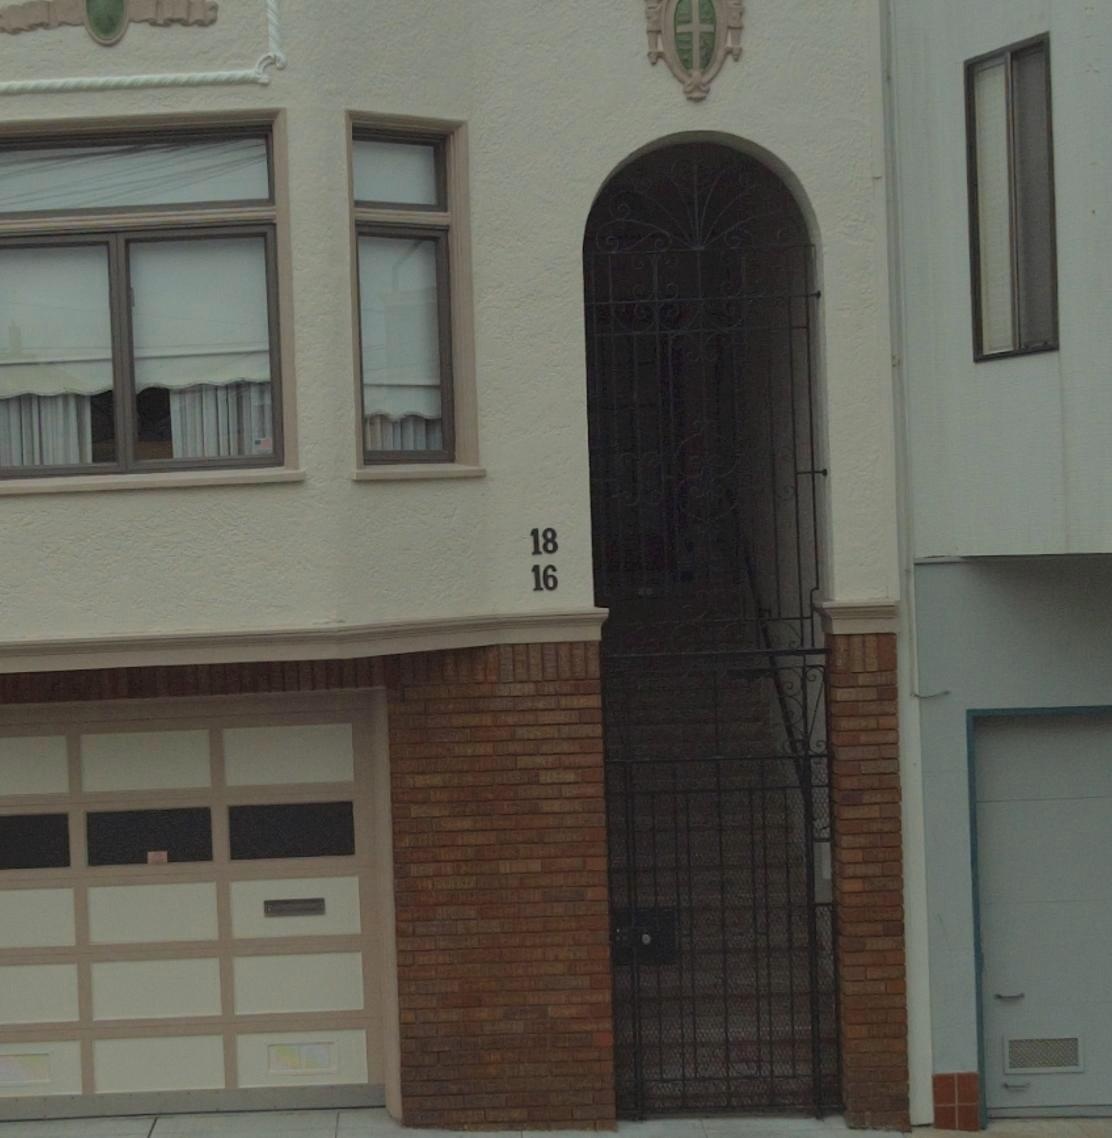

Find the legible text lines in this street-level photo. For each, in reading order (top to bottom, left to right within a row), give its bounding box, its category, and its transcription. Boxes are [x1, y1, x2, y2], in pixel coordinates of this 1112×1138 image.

[529, 525, 560, 557] StreetNumber: 18
[529, 563, 560, 593] StreetNumber: 16